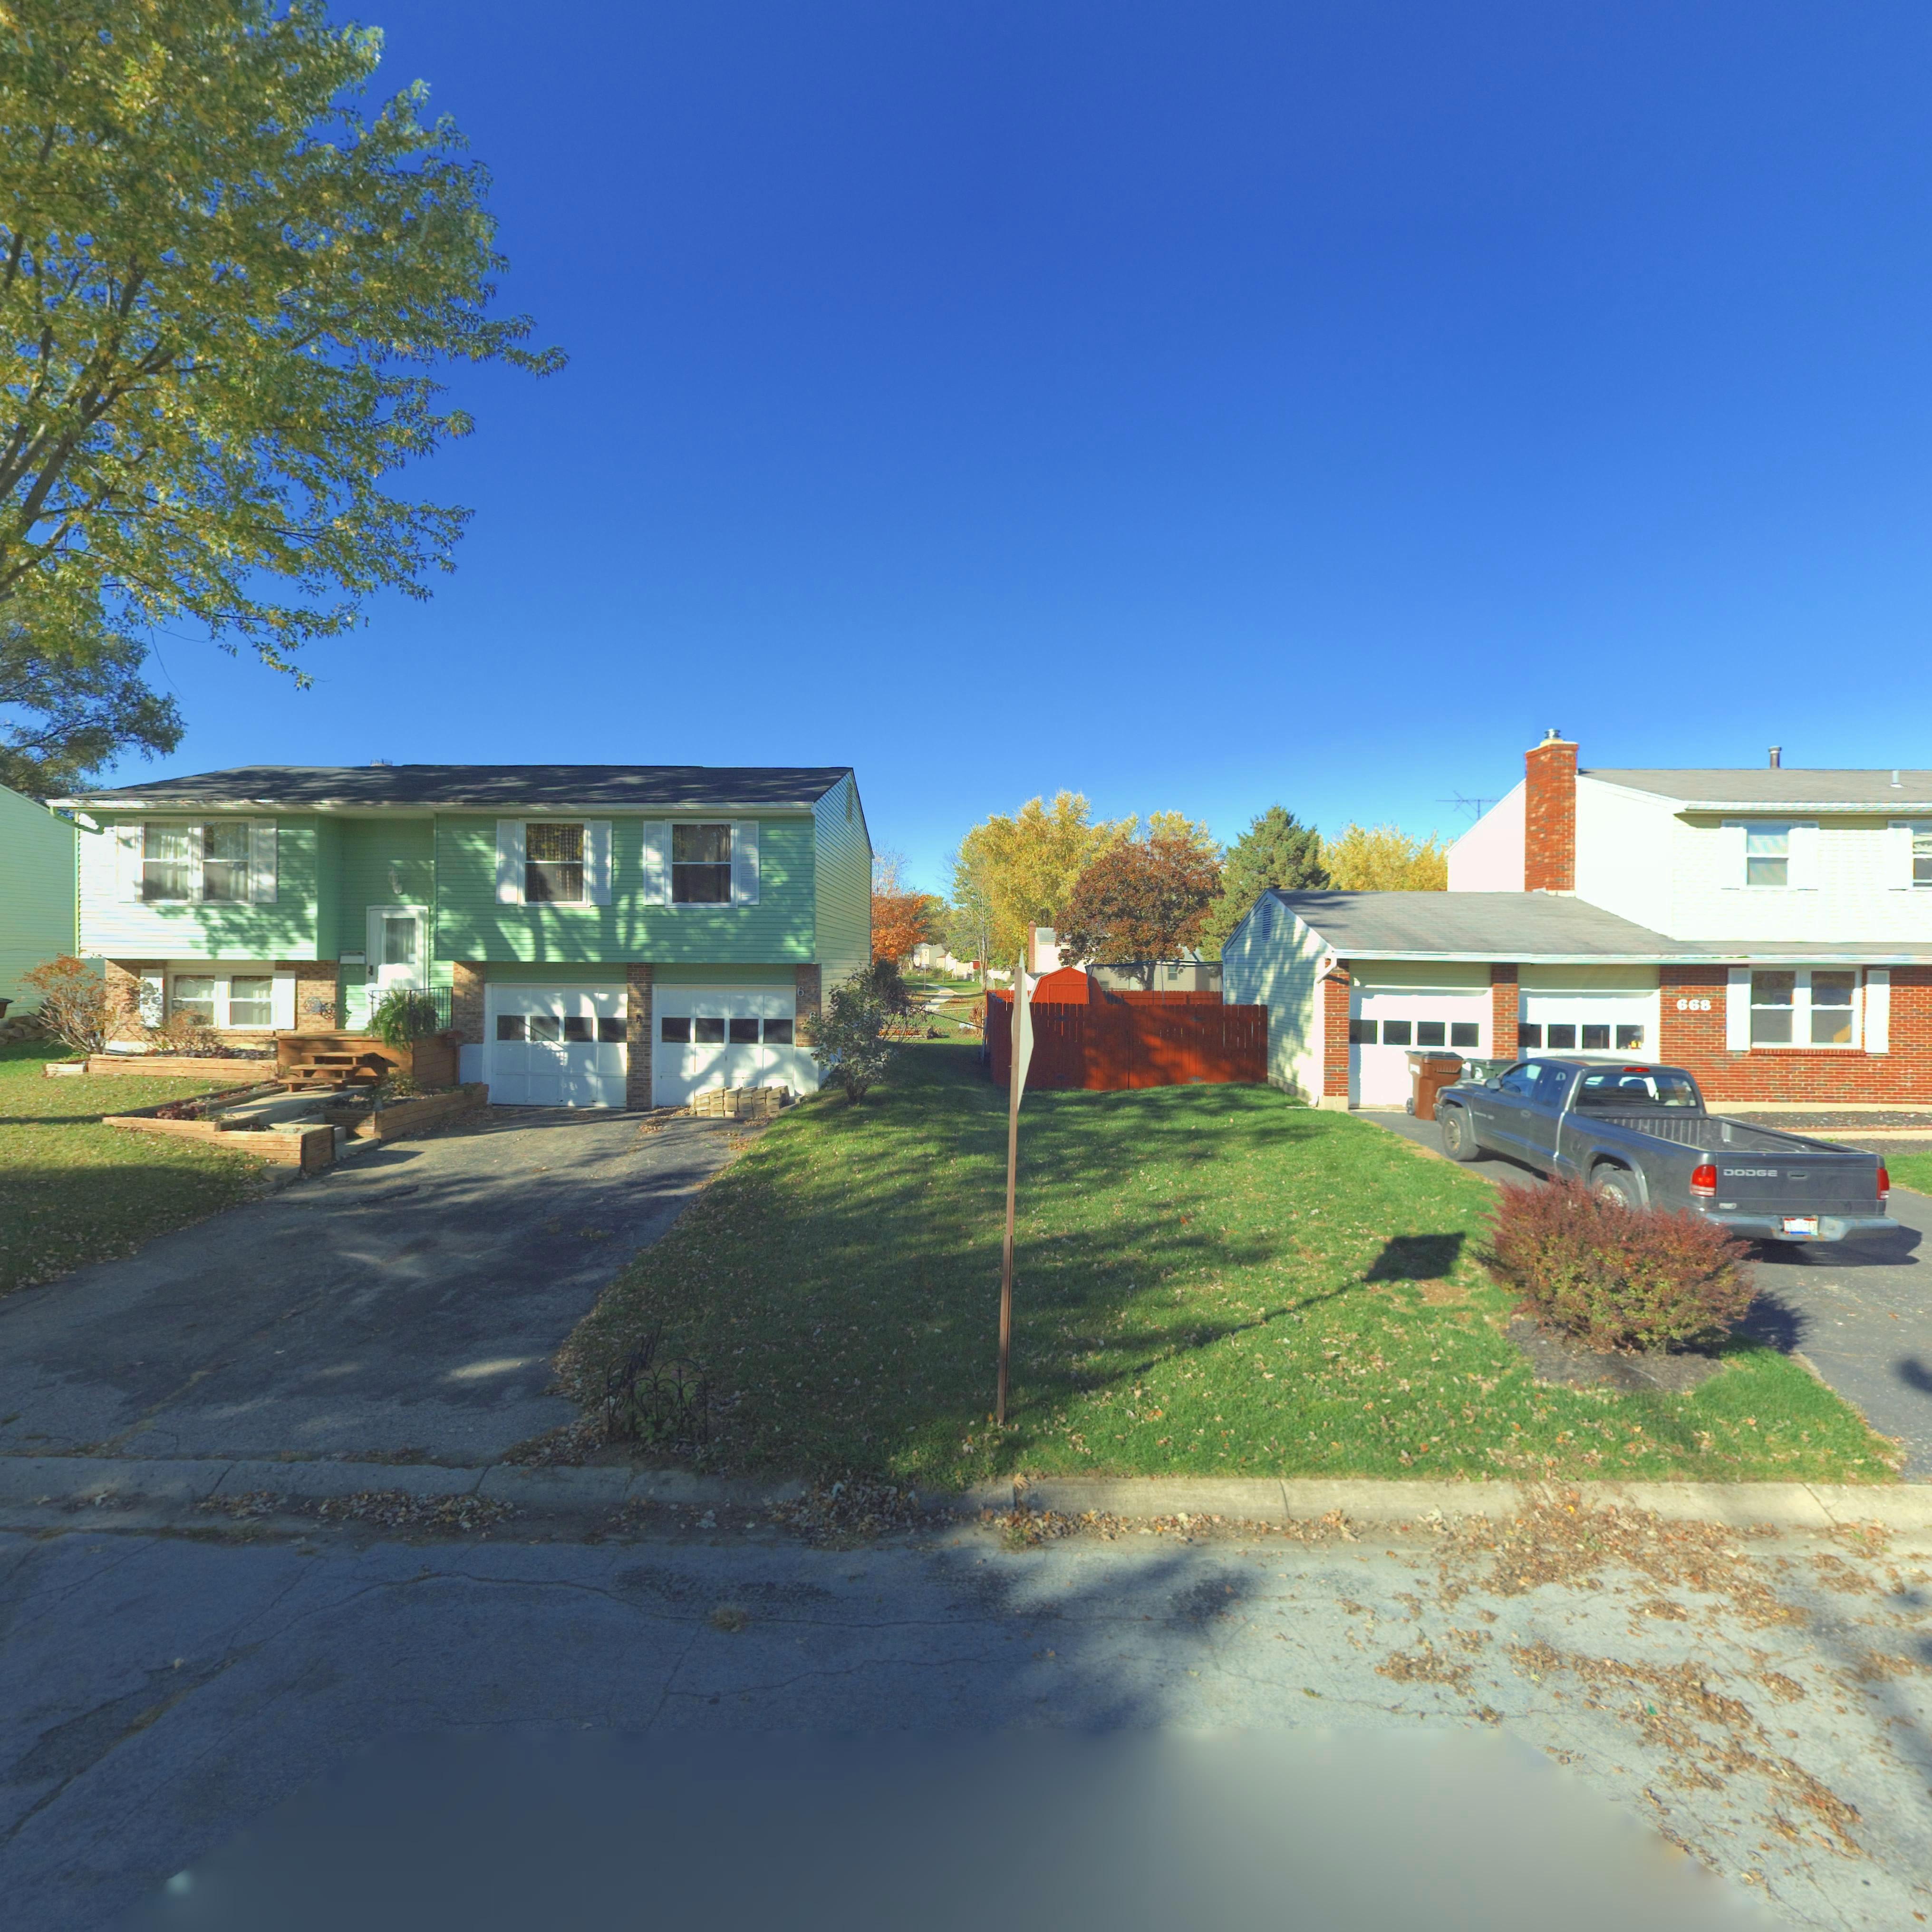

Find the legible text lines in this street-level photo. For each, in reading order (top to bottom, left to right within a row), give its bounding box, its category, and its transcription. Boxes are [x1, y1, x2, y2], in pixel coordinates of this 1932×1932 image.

[797, 985, 804, 997] StreetNumber: 6
[1676, 998, 1712, 1011] StreetNumber: 668